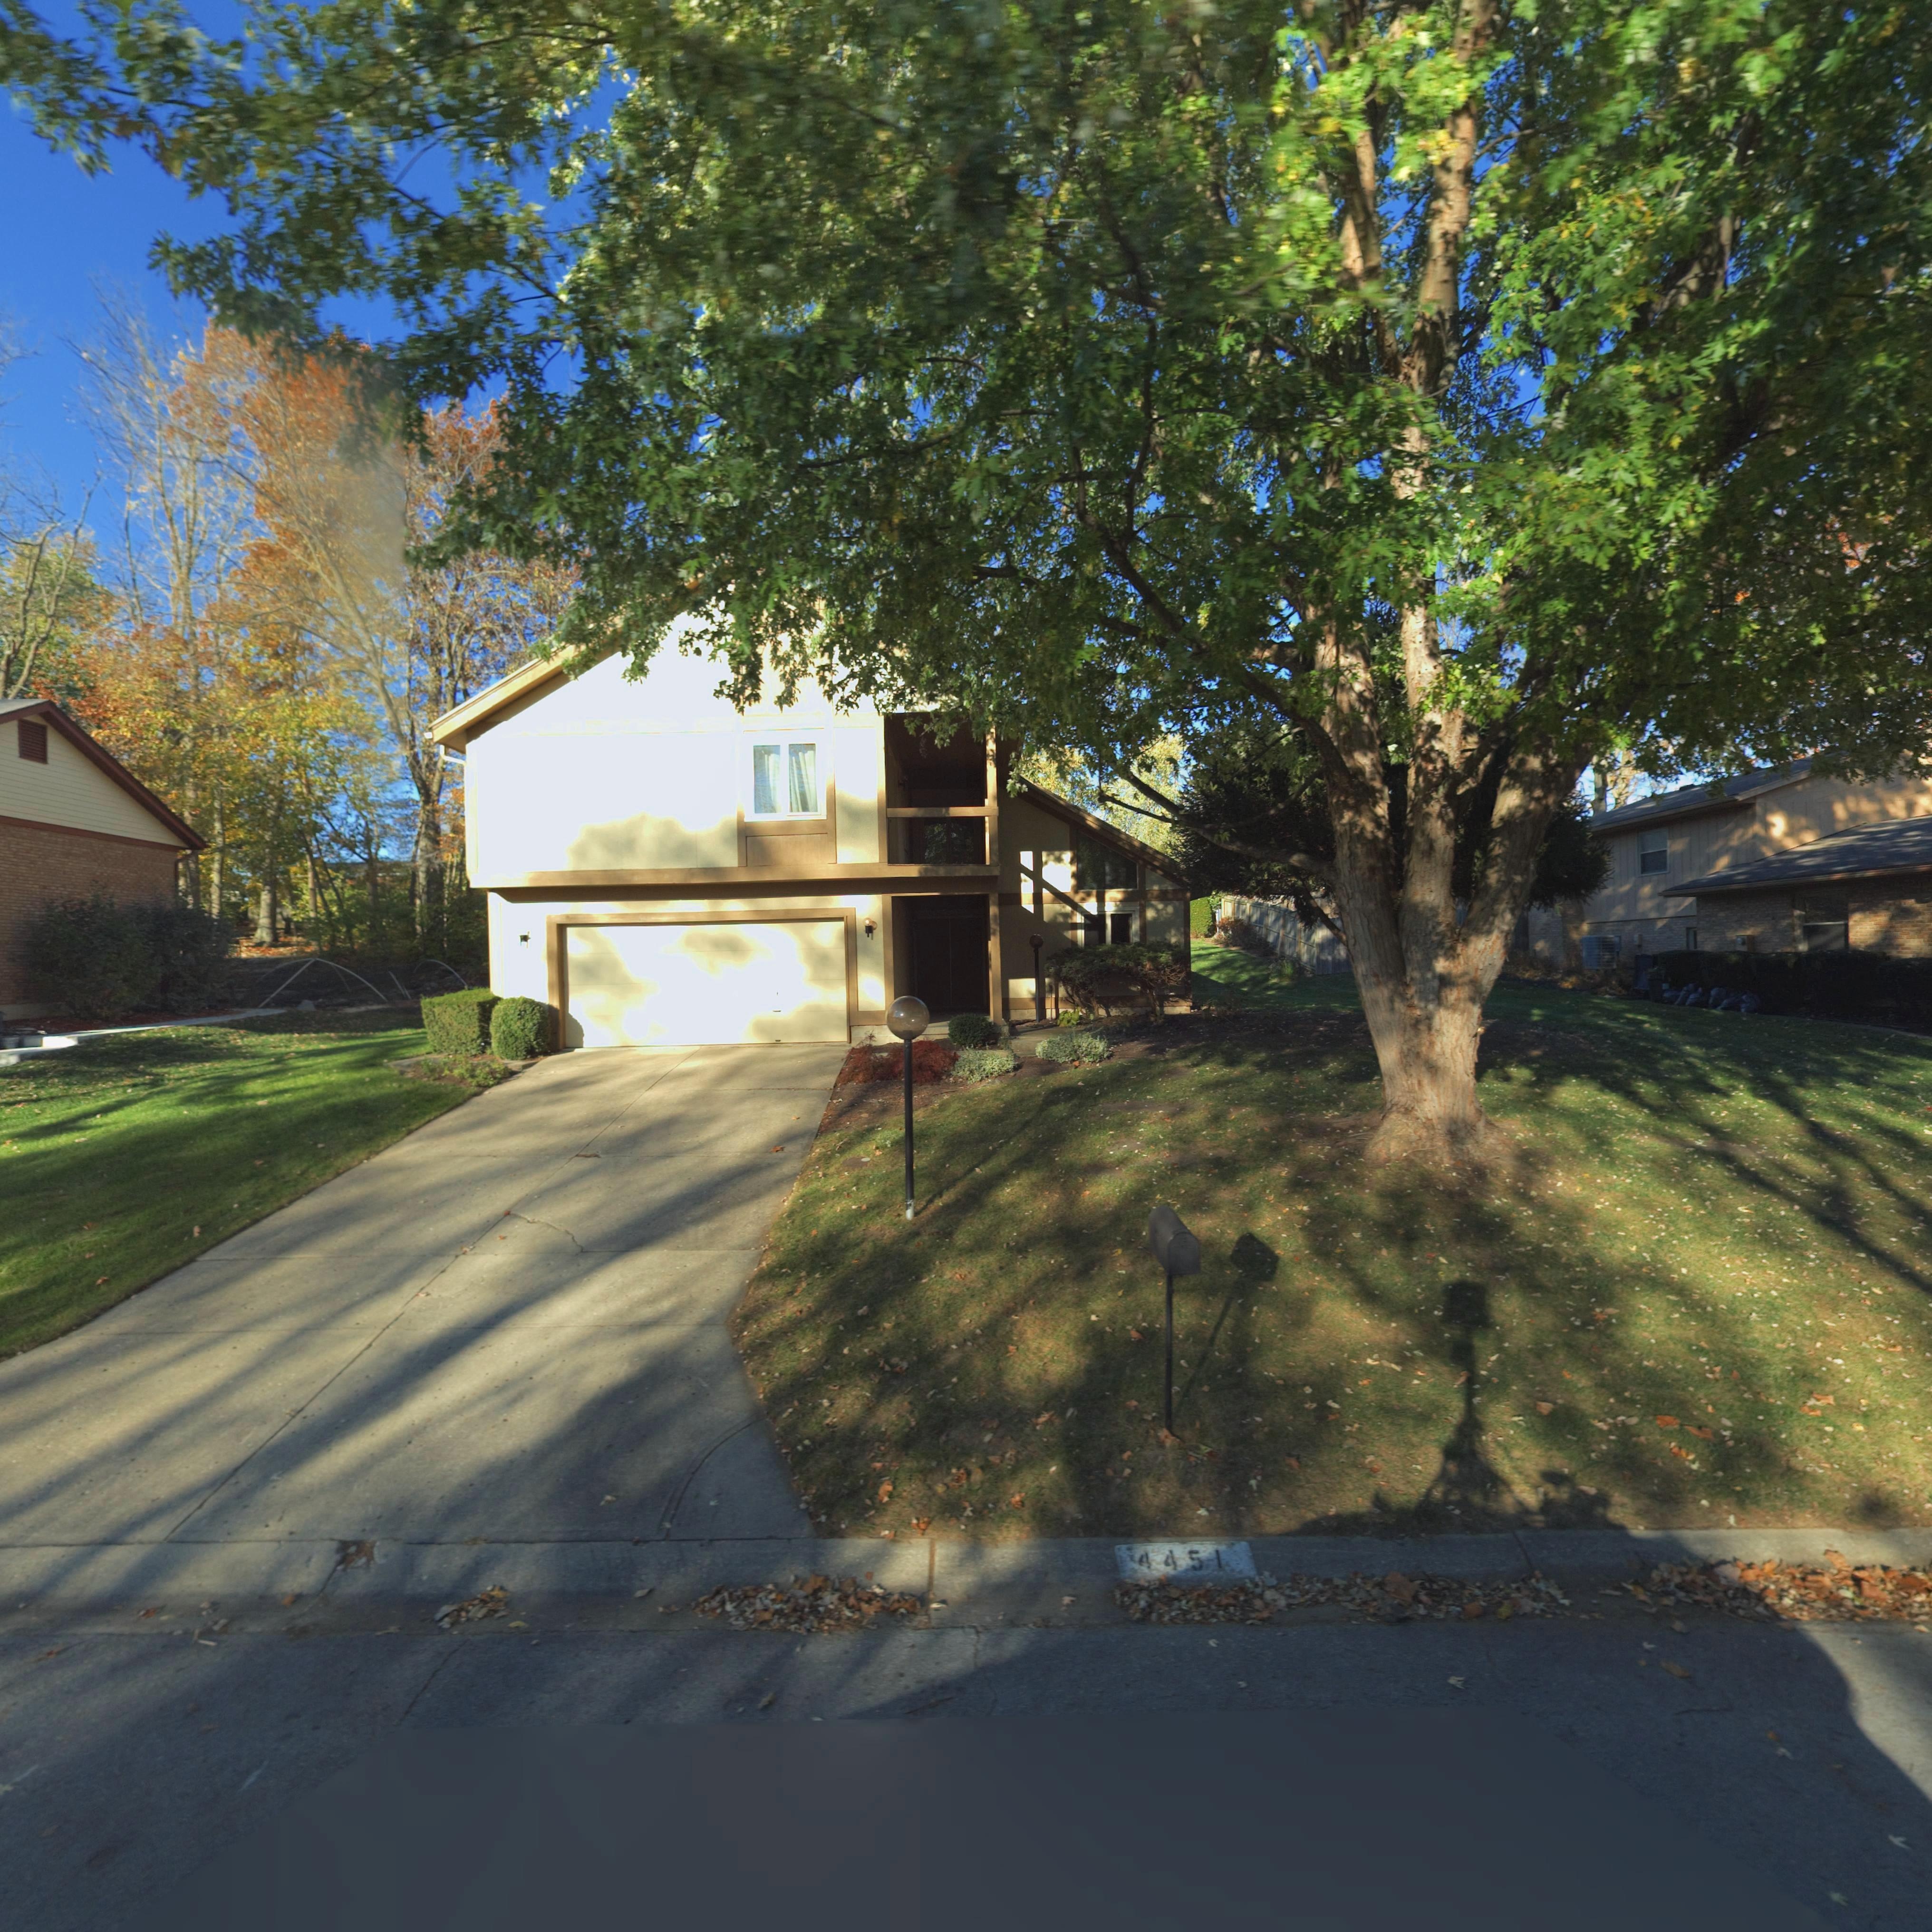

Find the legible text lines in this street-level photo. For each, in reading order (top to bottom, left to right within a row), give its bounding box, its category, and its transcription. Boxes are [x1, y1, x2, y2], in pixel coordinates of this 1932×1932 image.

[1136, 1548, 1224, 1572] StreetNumber: 4451